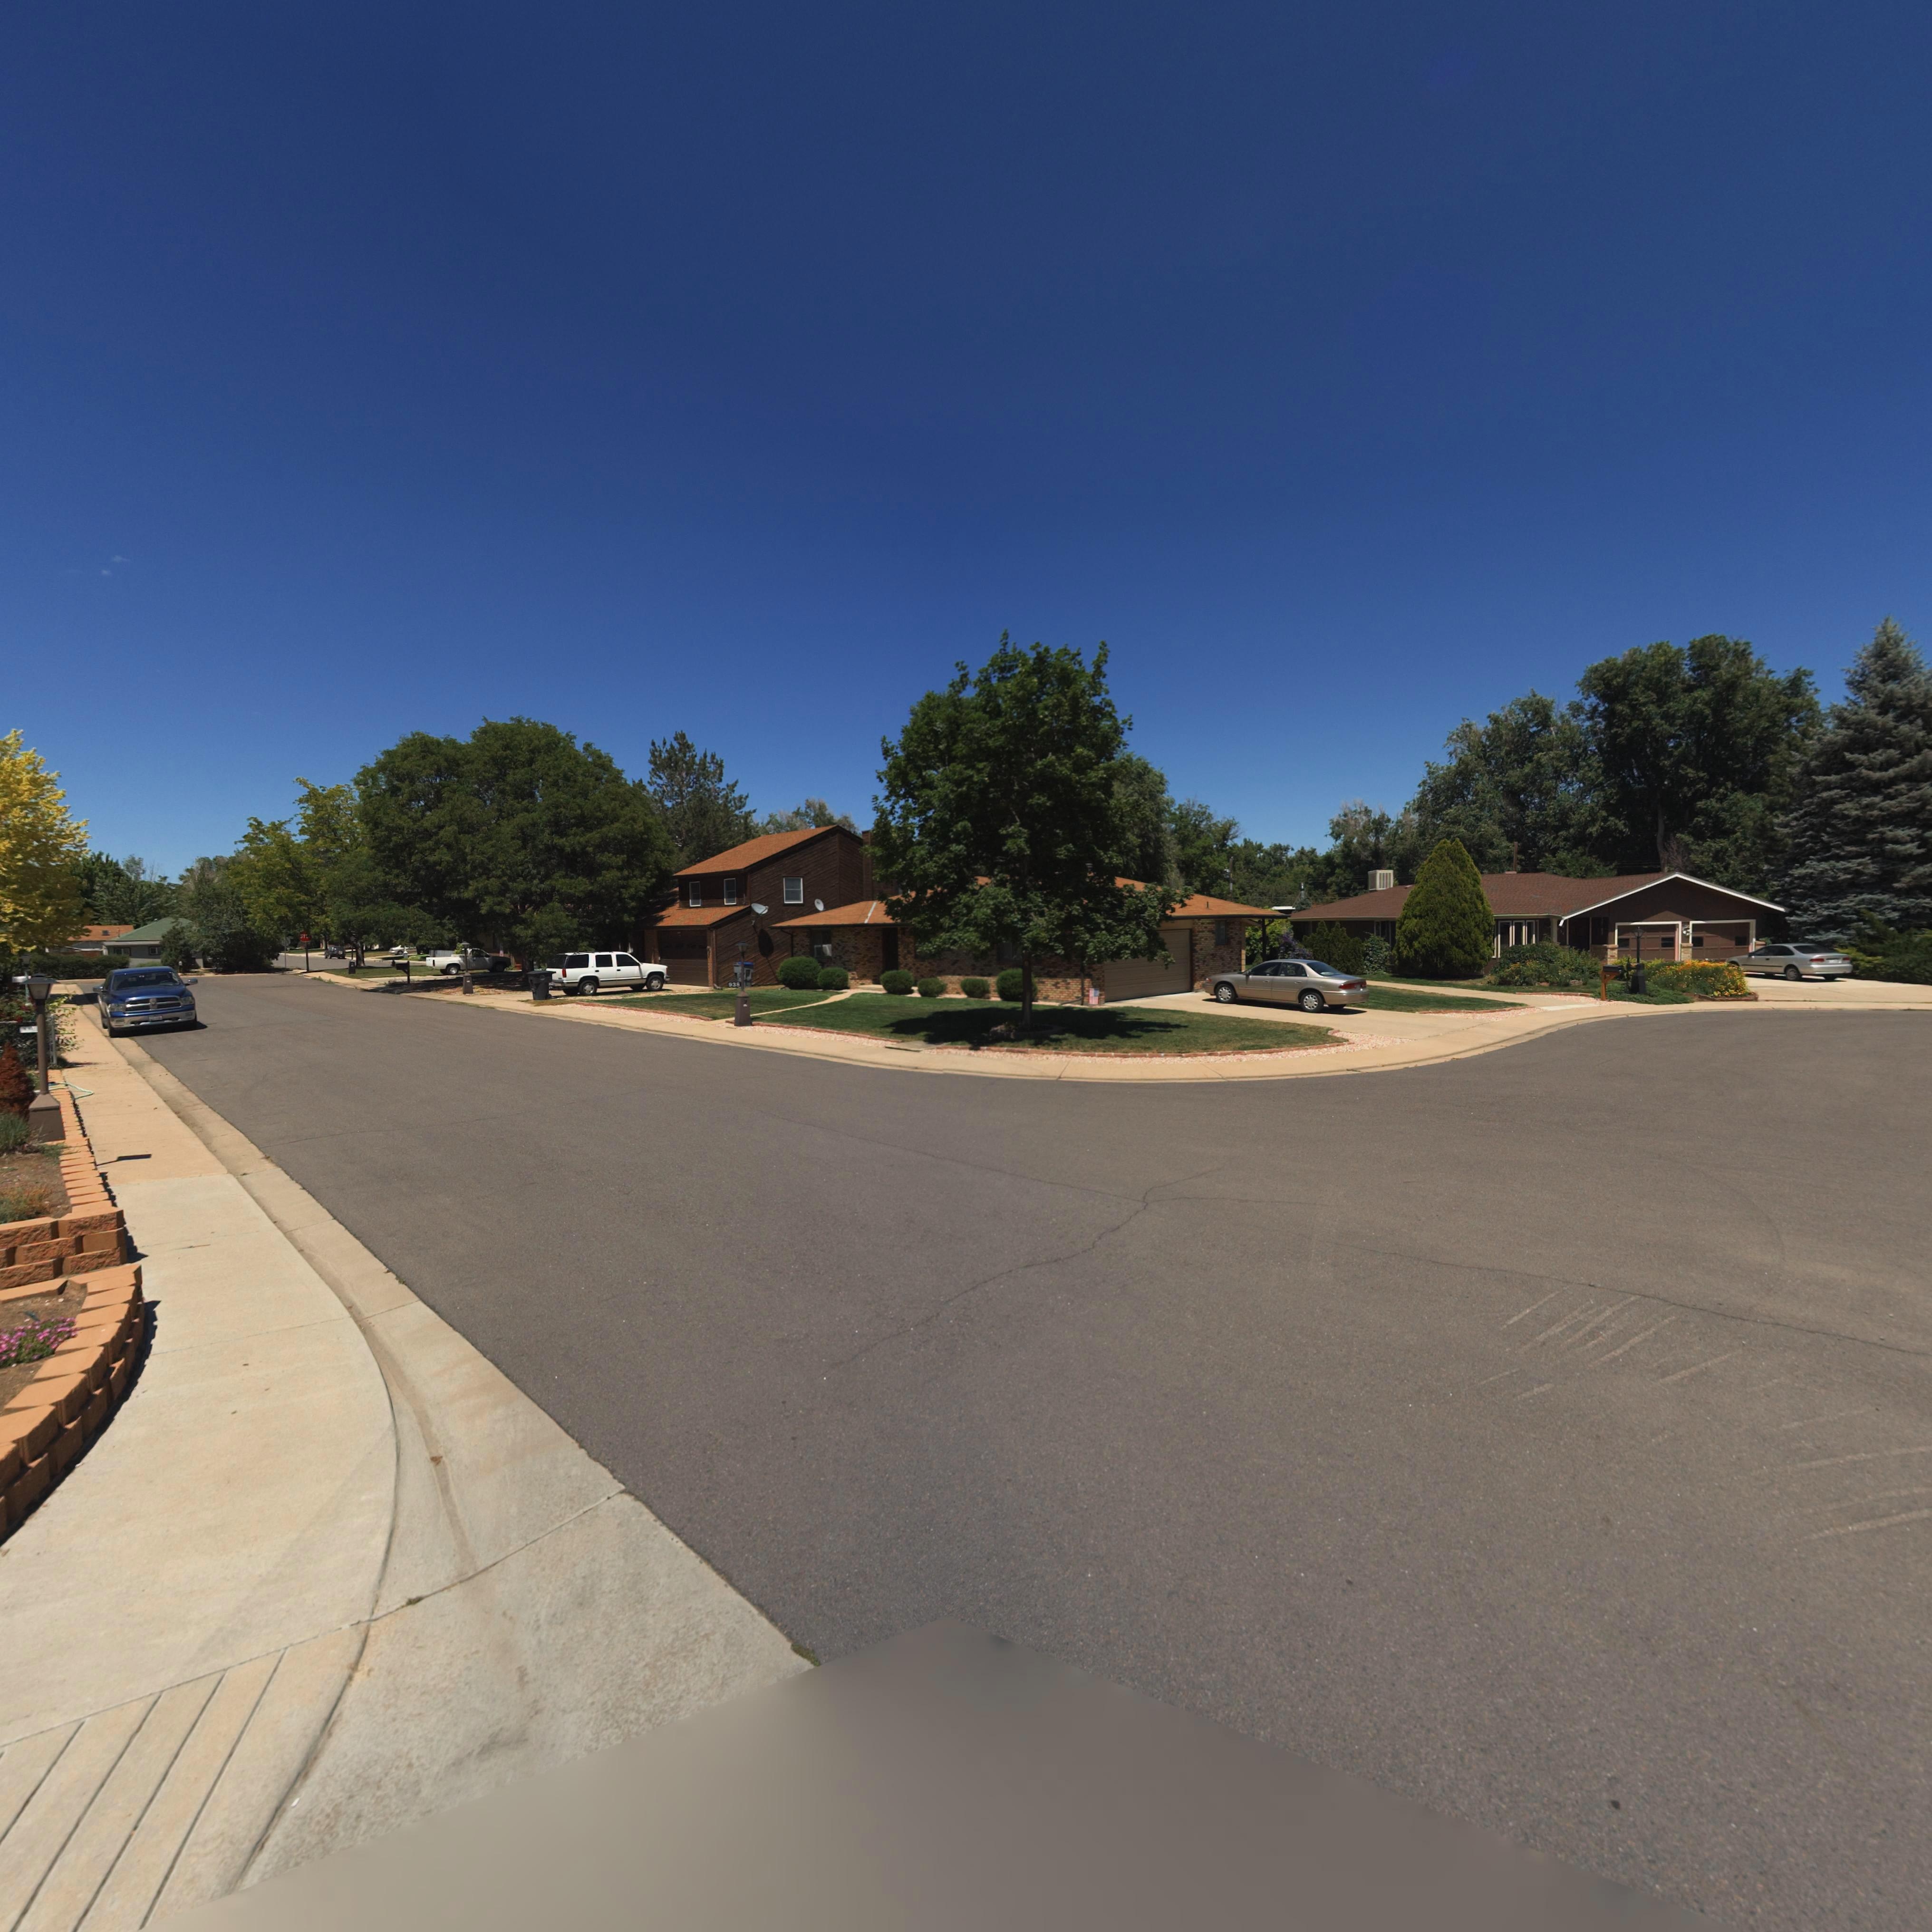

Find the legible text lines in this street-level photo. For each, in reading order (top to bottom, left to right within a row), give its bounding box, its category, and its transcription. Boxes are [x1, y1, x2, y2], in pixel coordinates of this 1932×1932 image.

[728, 982, 740, 987] StreetNumber: 938